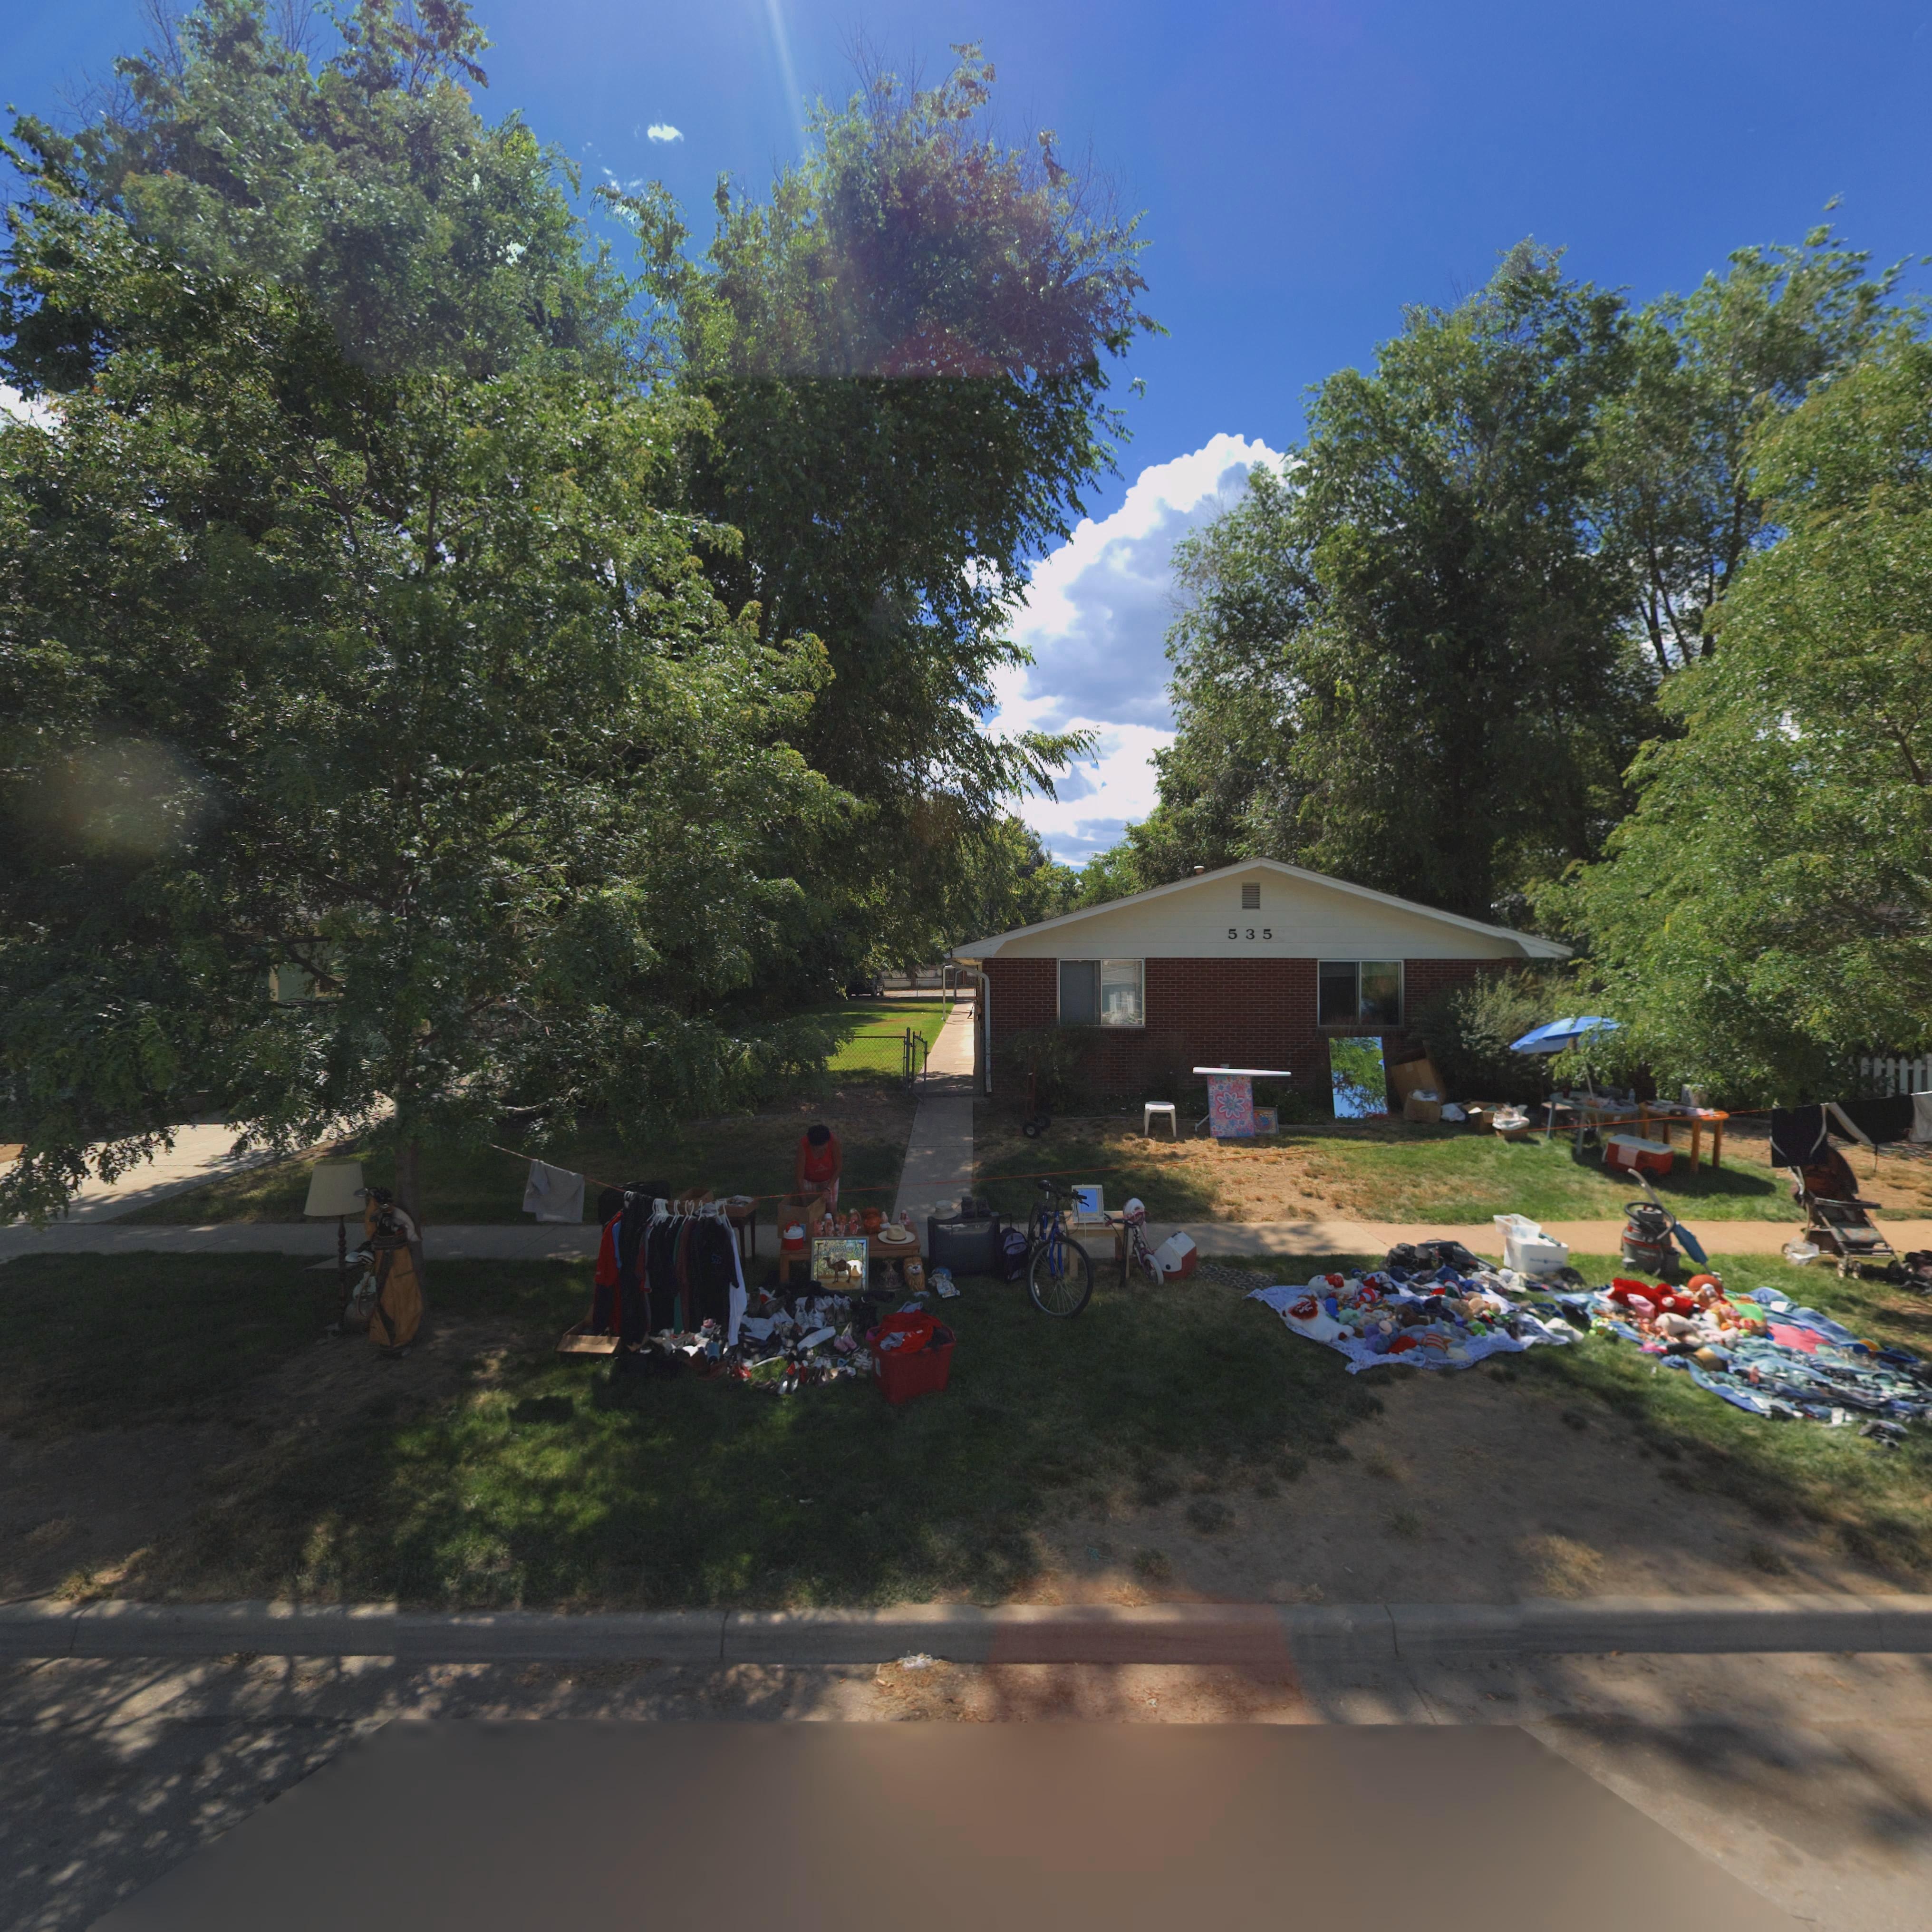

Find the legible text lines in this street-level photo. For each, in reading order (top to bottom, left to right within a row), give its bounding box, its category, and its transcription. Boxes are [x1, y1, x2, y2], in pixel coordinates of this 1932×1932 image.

[1227, 927, 1273, 940] StreetNumber: 535